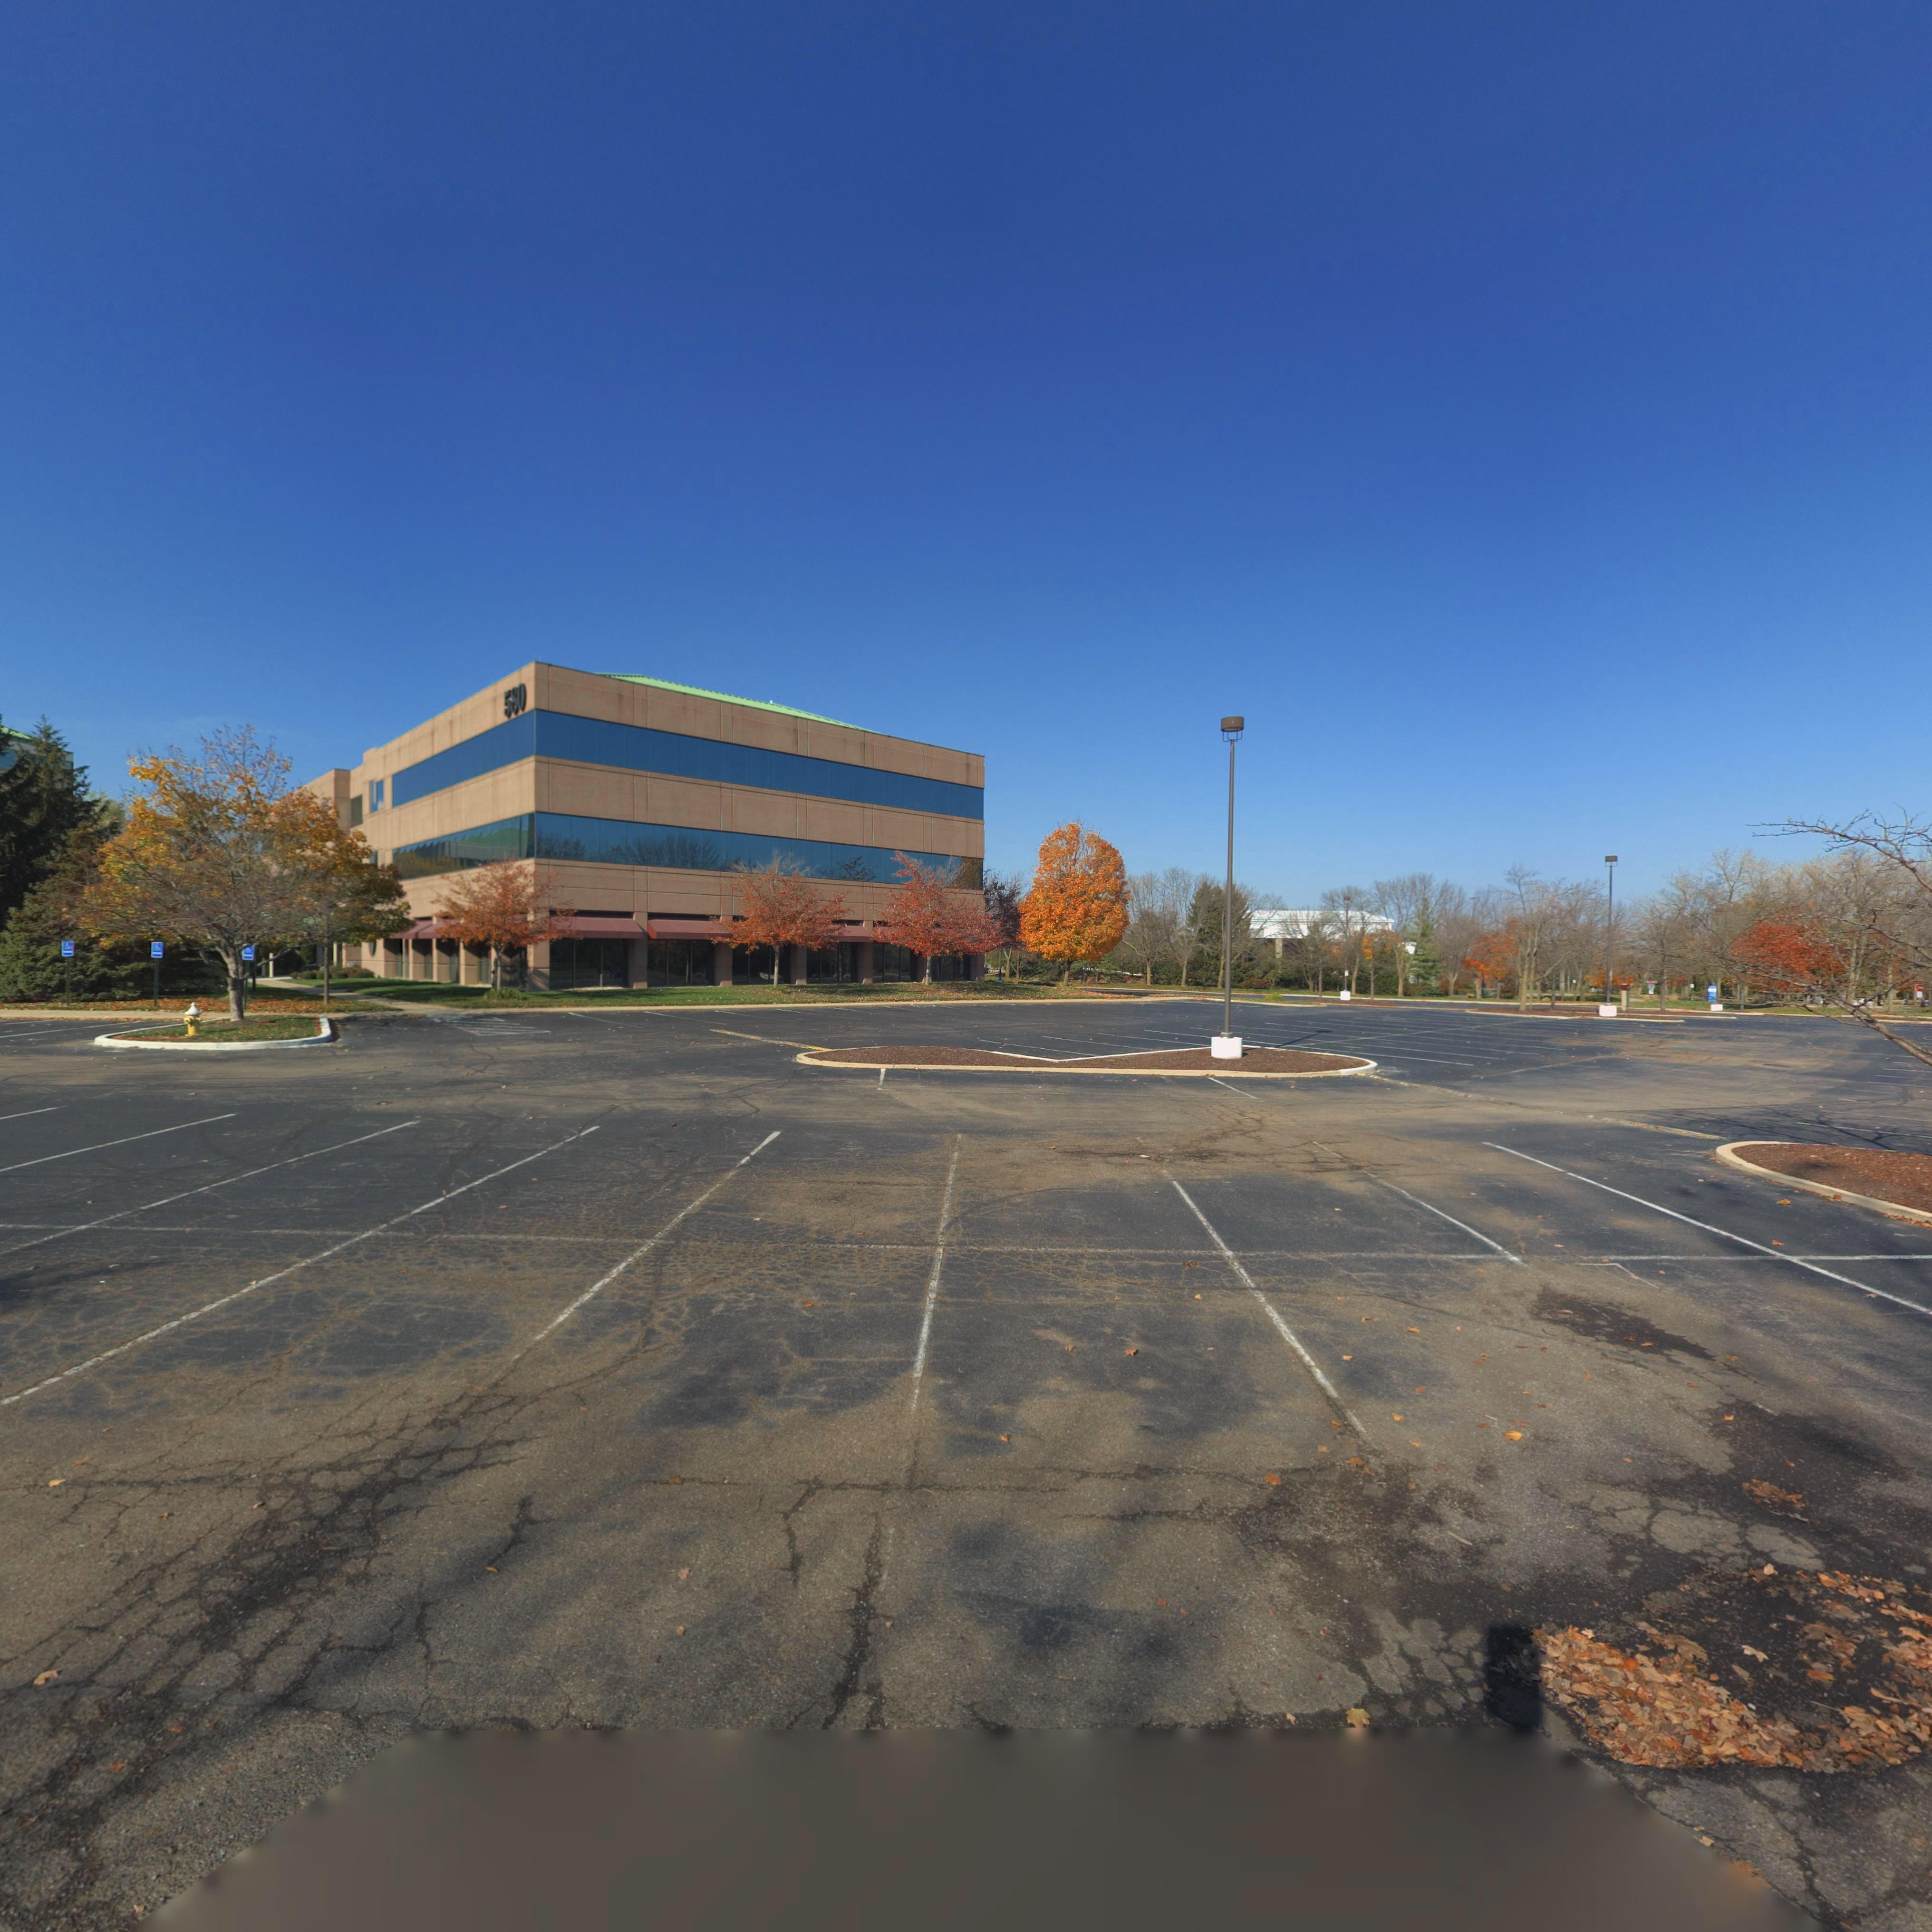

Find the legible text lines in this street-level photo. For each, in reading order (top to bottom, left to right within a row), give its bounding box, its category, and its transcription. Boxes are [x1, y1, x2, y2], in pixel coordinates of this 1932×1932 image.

[503, 680, 527, 718] StreetNumber: 580